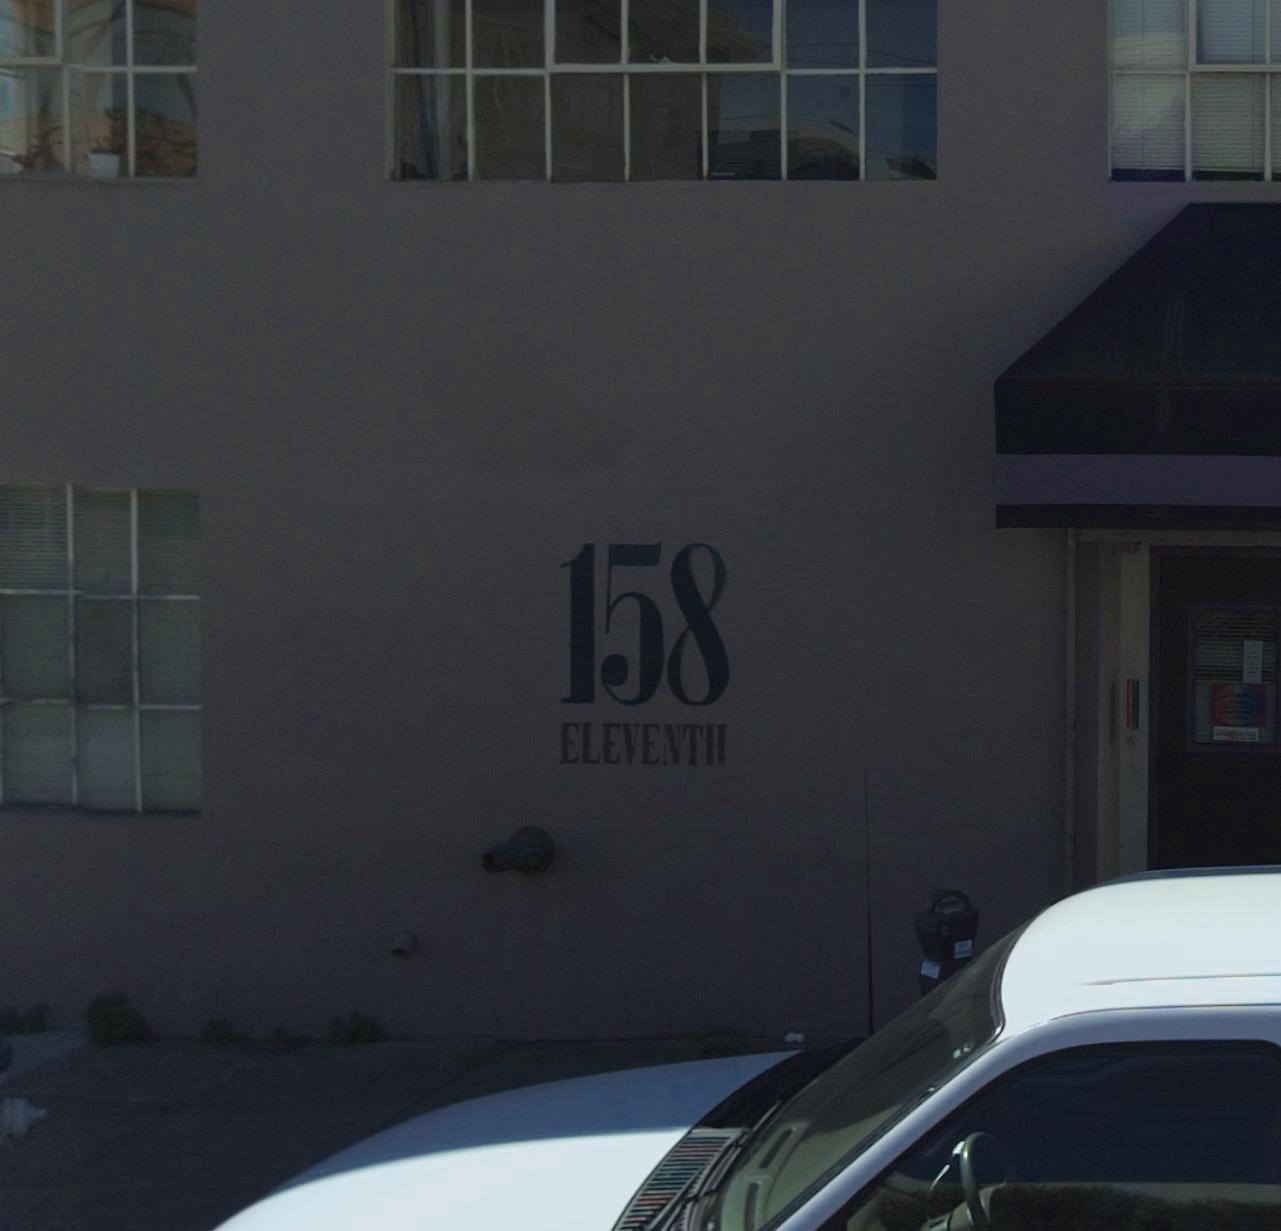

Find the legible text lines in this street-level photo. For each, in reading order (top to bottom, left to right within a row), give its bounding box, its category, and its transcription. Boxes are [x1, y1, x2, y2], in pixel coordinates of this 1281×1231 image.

[553, 534, 736, 709] StreetNumber: 158
[552, 714, 732, 772] StreetName: ELEVENTH